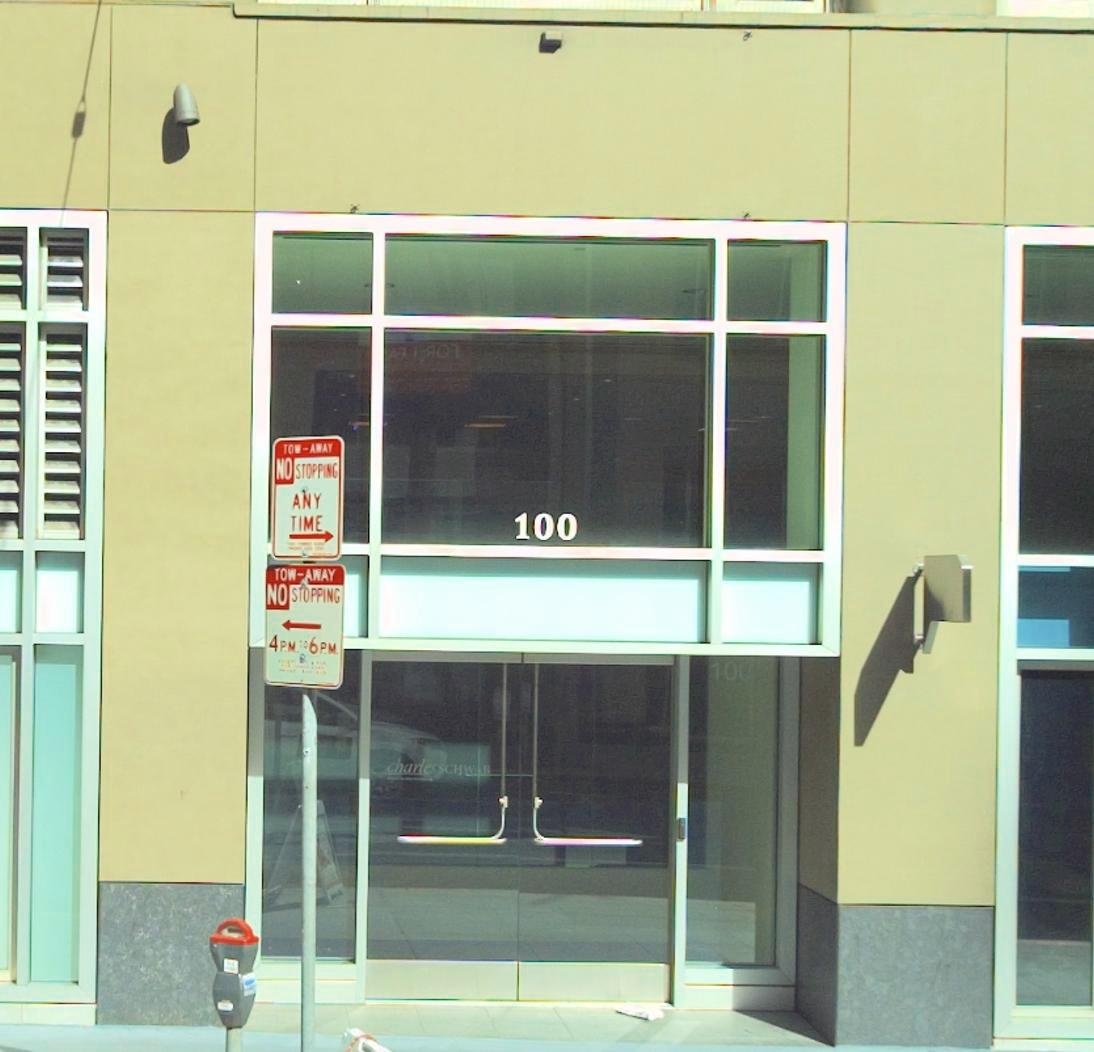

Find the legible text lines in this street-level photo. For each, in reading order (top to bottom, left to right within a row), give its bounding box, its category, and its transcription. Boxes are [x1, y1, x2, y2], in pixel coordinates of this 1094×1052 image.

[385, 339, 463, 364] None: A* *P*
[279, 440, 337, 456] None: TOW-AWAY
[272, 455, 343, 484] None: NO STOPPING
[289, 489, 325, 511] None: ANY
[287, 512, 325, 536] None: TIME
[512, 508, 582, 544] StreetNumber: 100
[273, 566, 340, 584] None: TOW-AWAY
[263, 580, 345, 607] None: NO STOPPING
[265, 632, 341, 658] None: 4P.M. TO 6P.M.
[708, 658, 757, 687] StreetNumber: 100
[384, 756, 494, 780] BusinessName: charles SCHWAB